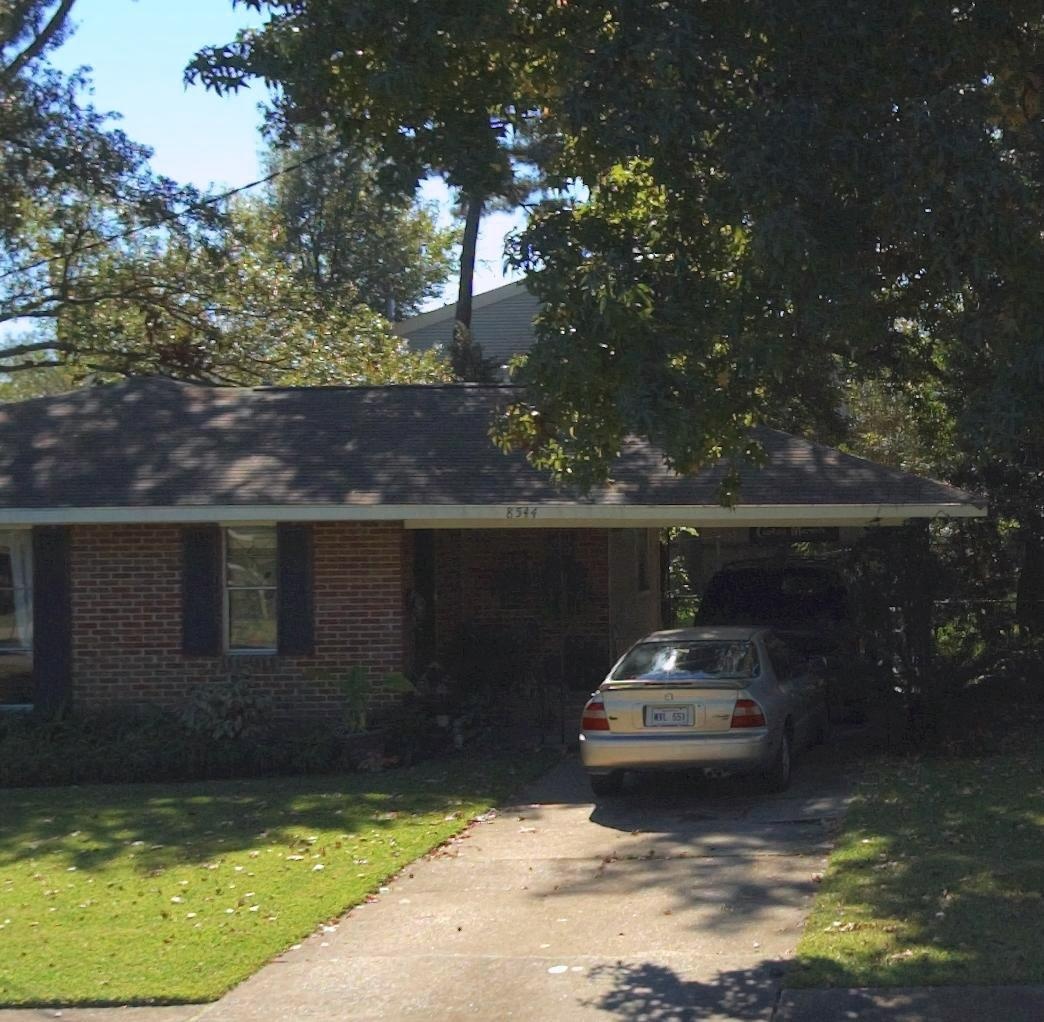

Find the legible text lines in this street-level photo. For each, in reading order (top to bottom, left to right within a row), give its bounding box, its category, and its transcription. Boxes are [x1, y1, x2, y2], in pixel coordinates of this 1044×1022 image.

[504, 505, 539, 520] StreetNumber: 8544
[670, 711, 687, 723] None: 551